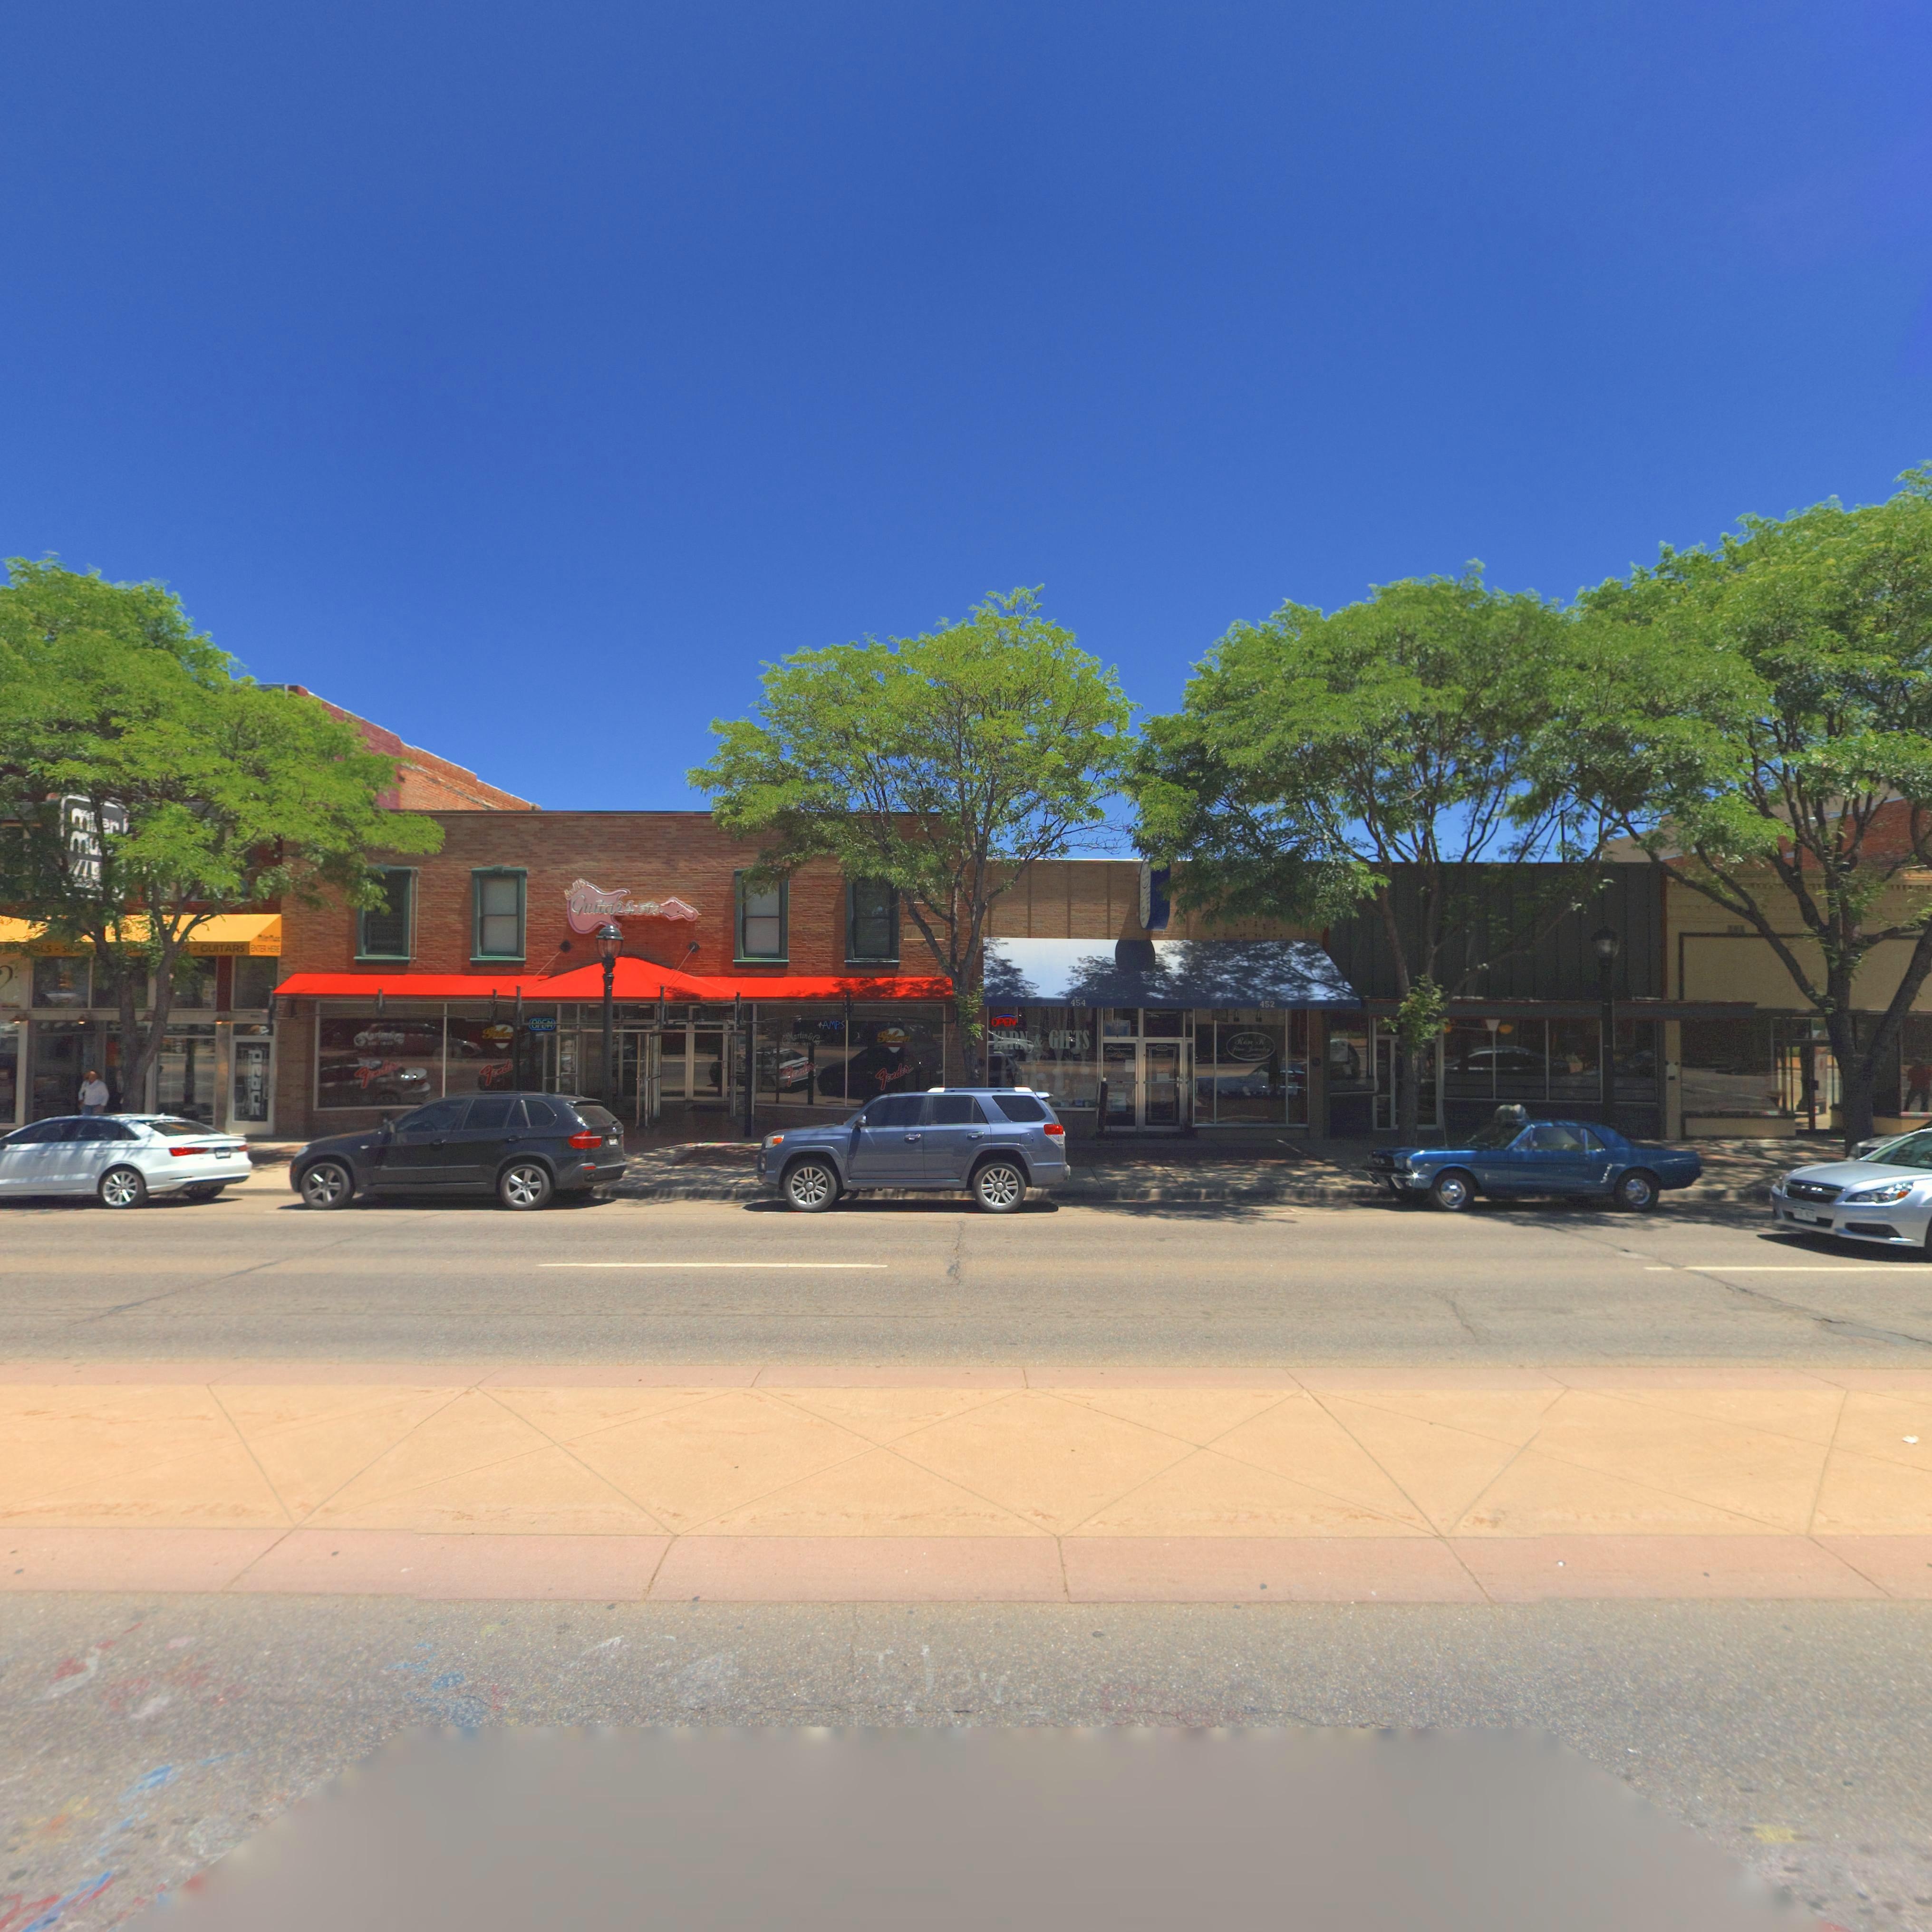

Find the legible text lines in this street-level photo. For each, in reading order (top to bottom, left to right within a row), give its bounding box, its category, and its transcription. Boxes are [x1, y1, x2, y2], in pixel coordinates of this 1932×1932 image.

[69, 807, 120, 836] BusinessName: Mi***r
[69, 830, 99, 856] BusinessName: Mu
[570, 893, 660, 916] BusinessName: Guitars etc
[1070, 999, 1086, 1006] StreetNumber: 454
[1259, 1000, 1275, 1008] StreetNumber: 452